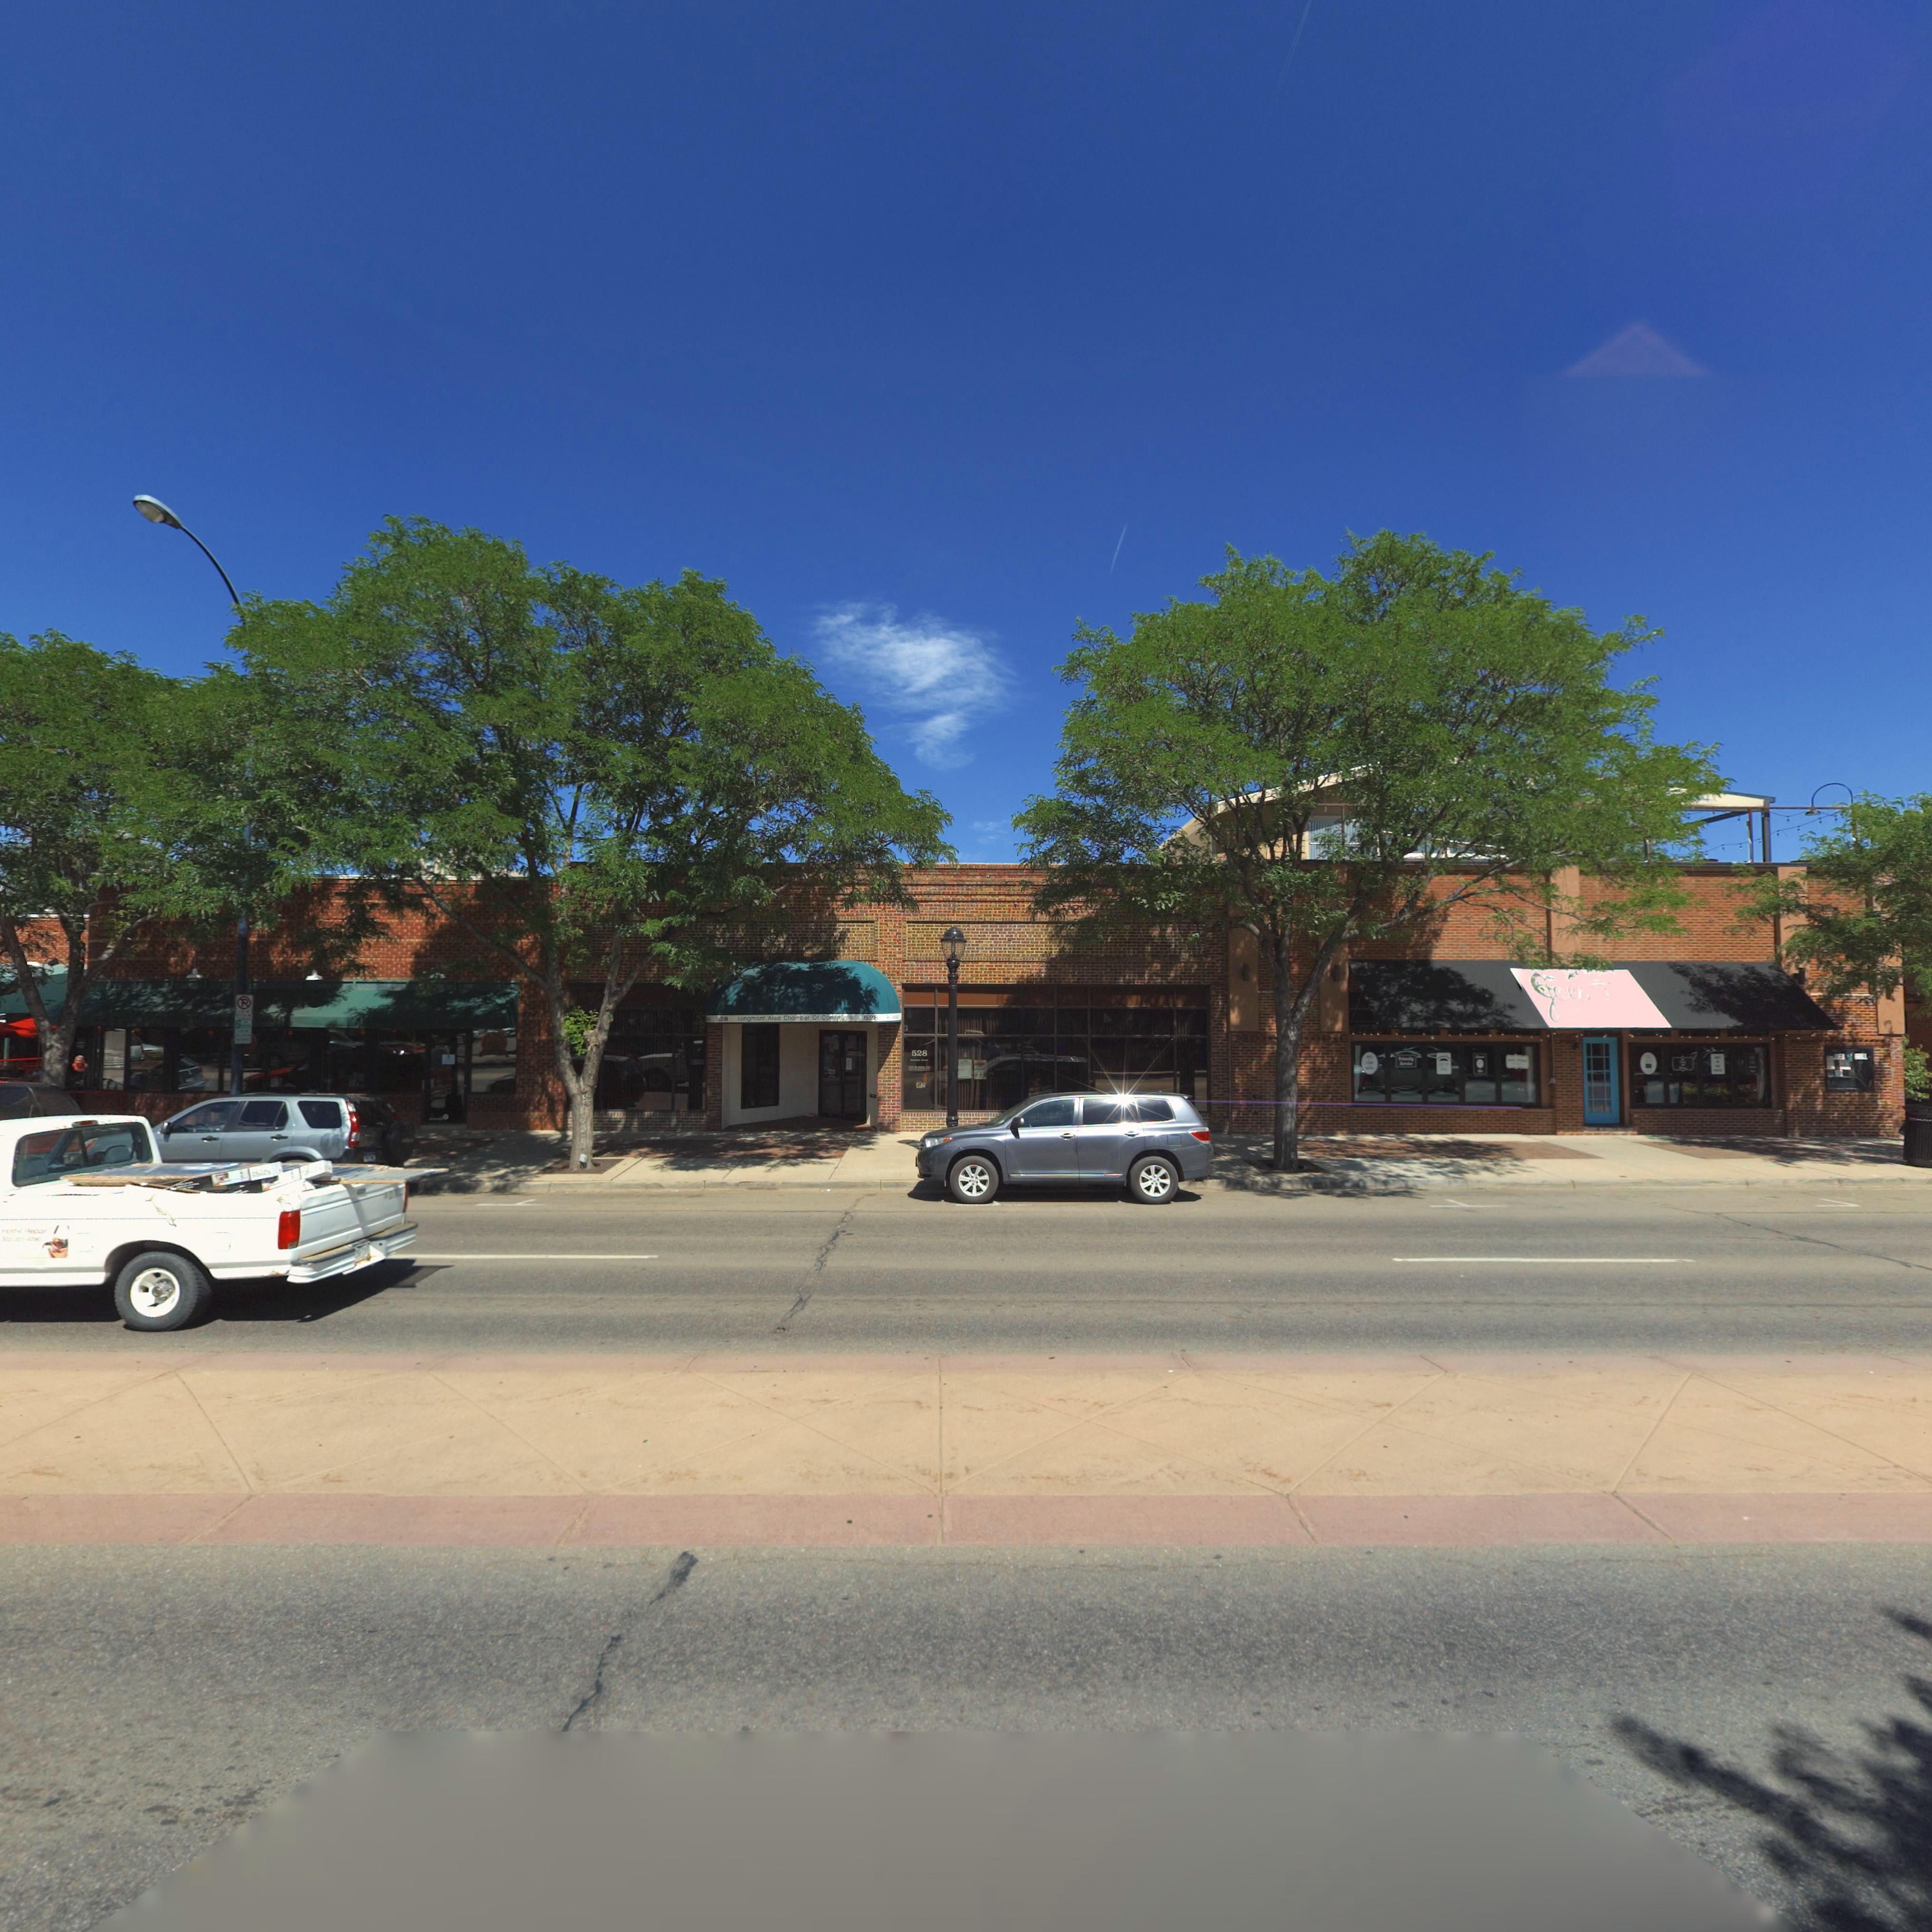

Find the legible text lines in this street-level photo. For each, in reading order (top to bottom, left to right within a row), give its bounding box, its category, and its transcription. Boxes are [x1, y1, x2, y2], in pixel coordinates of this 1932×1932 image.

[1529, 971, 1591, 1024] BusinessName: J*es
[716, 1016, 728, 1021] StreetNumber: 528
[864, 1014, 879, 1020] StreetNumber: 528
[911, 1050, 927, 1056] StreetNumber: 528